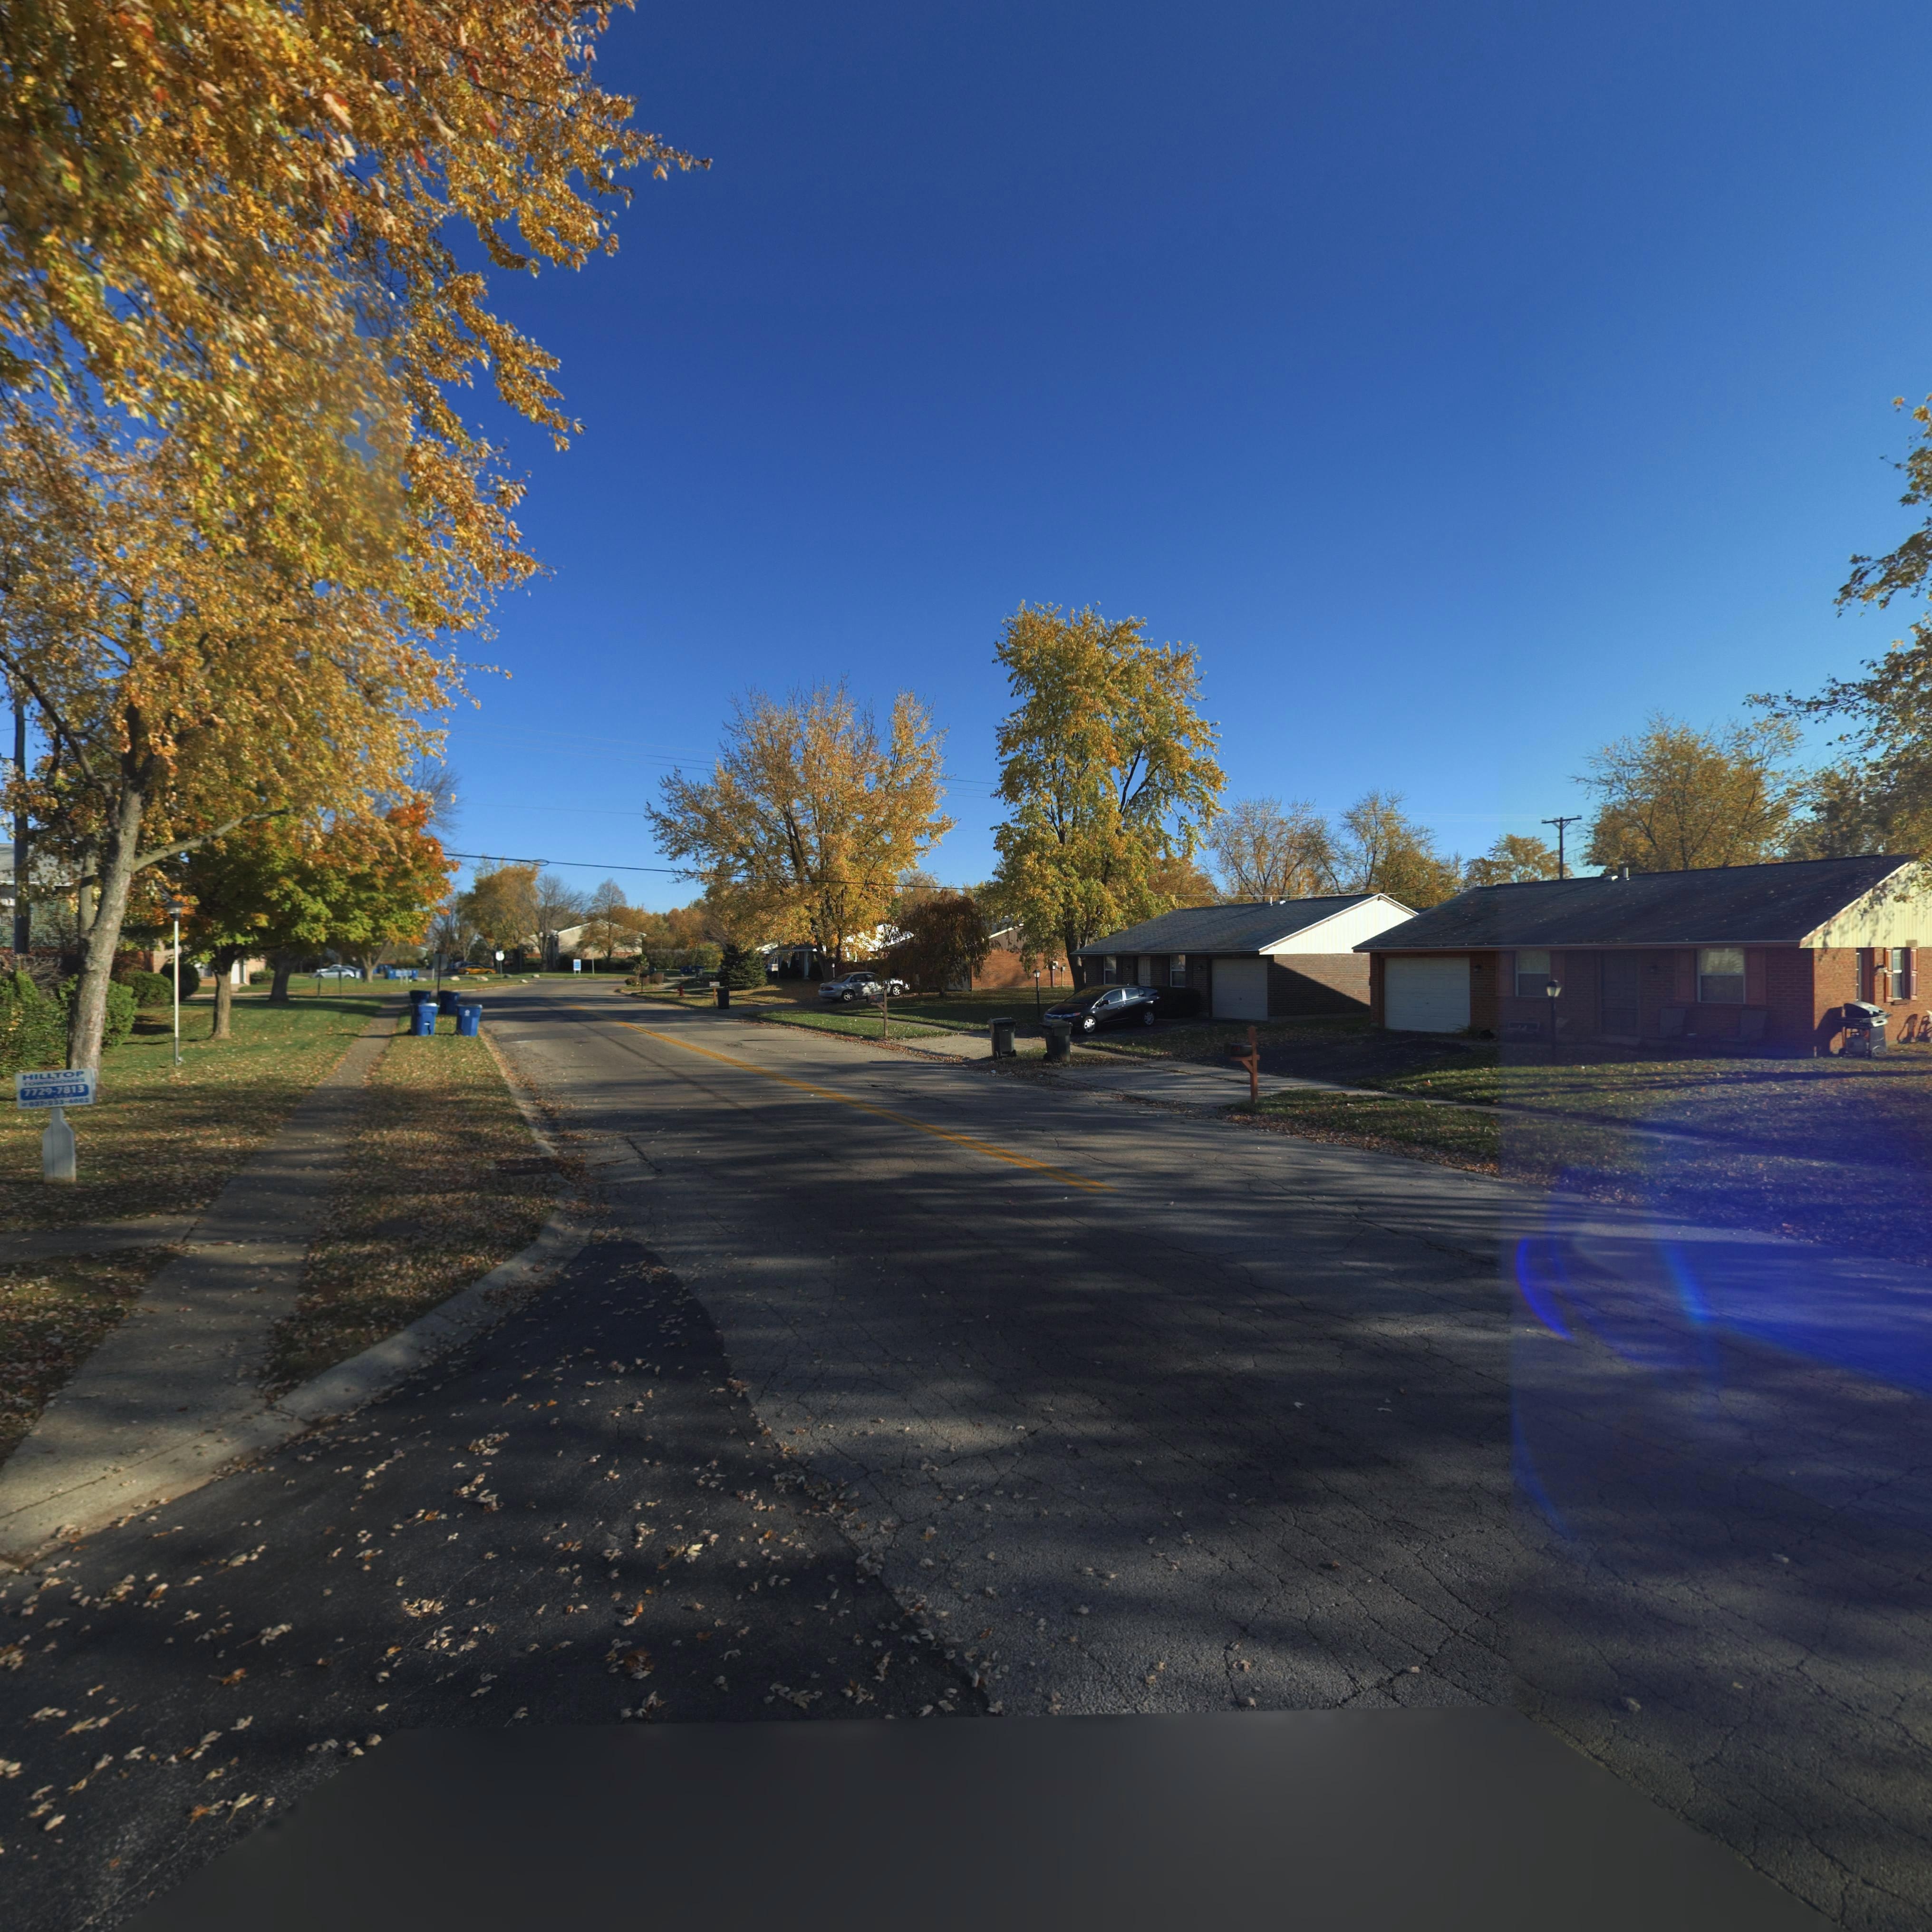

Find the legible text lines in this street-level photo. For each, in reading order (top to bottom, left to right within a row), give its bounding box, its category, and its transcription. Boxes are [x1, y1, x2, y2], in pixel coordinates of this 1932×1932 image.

[1416, 952, 1430, 957] StreetNumber: 7***